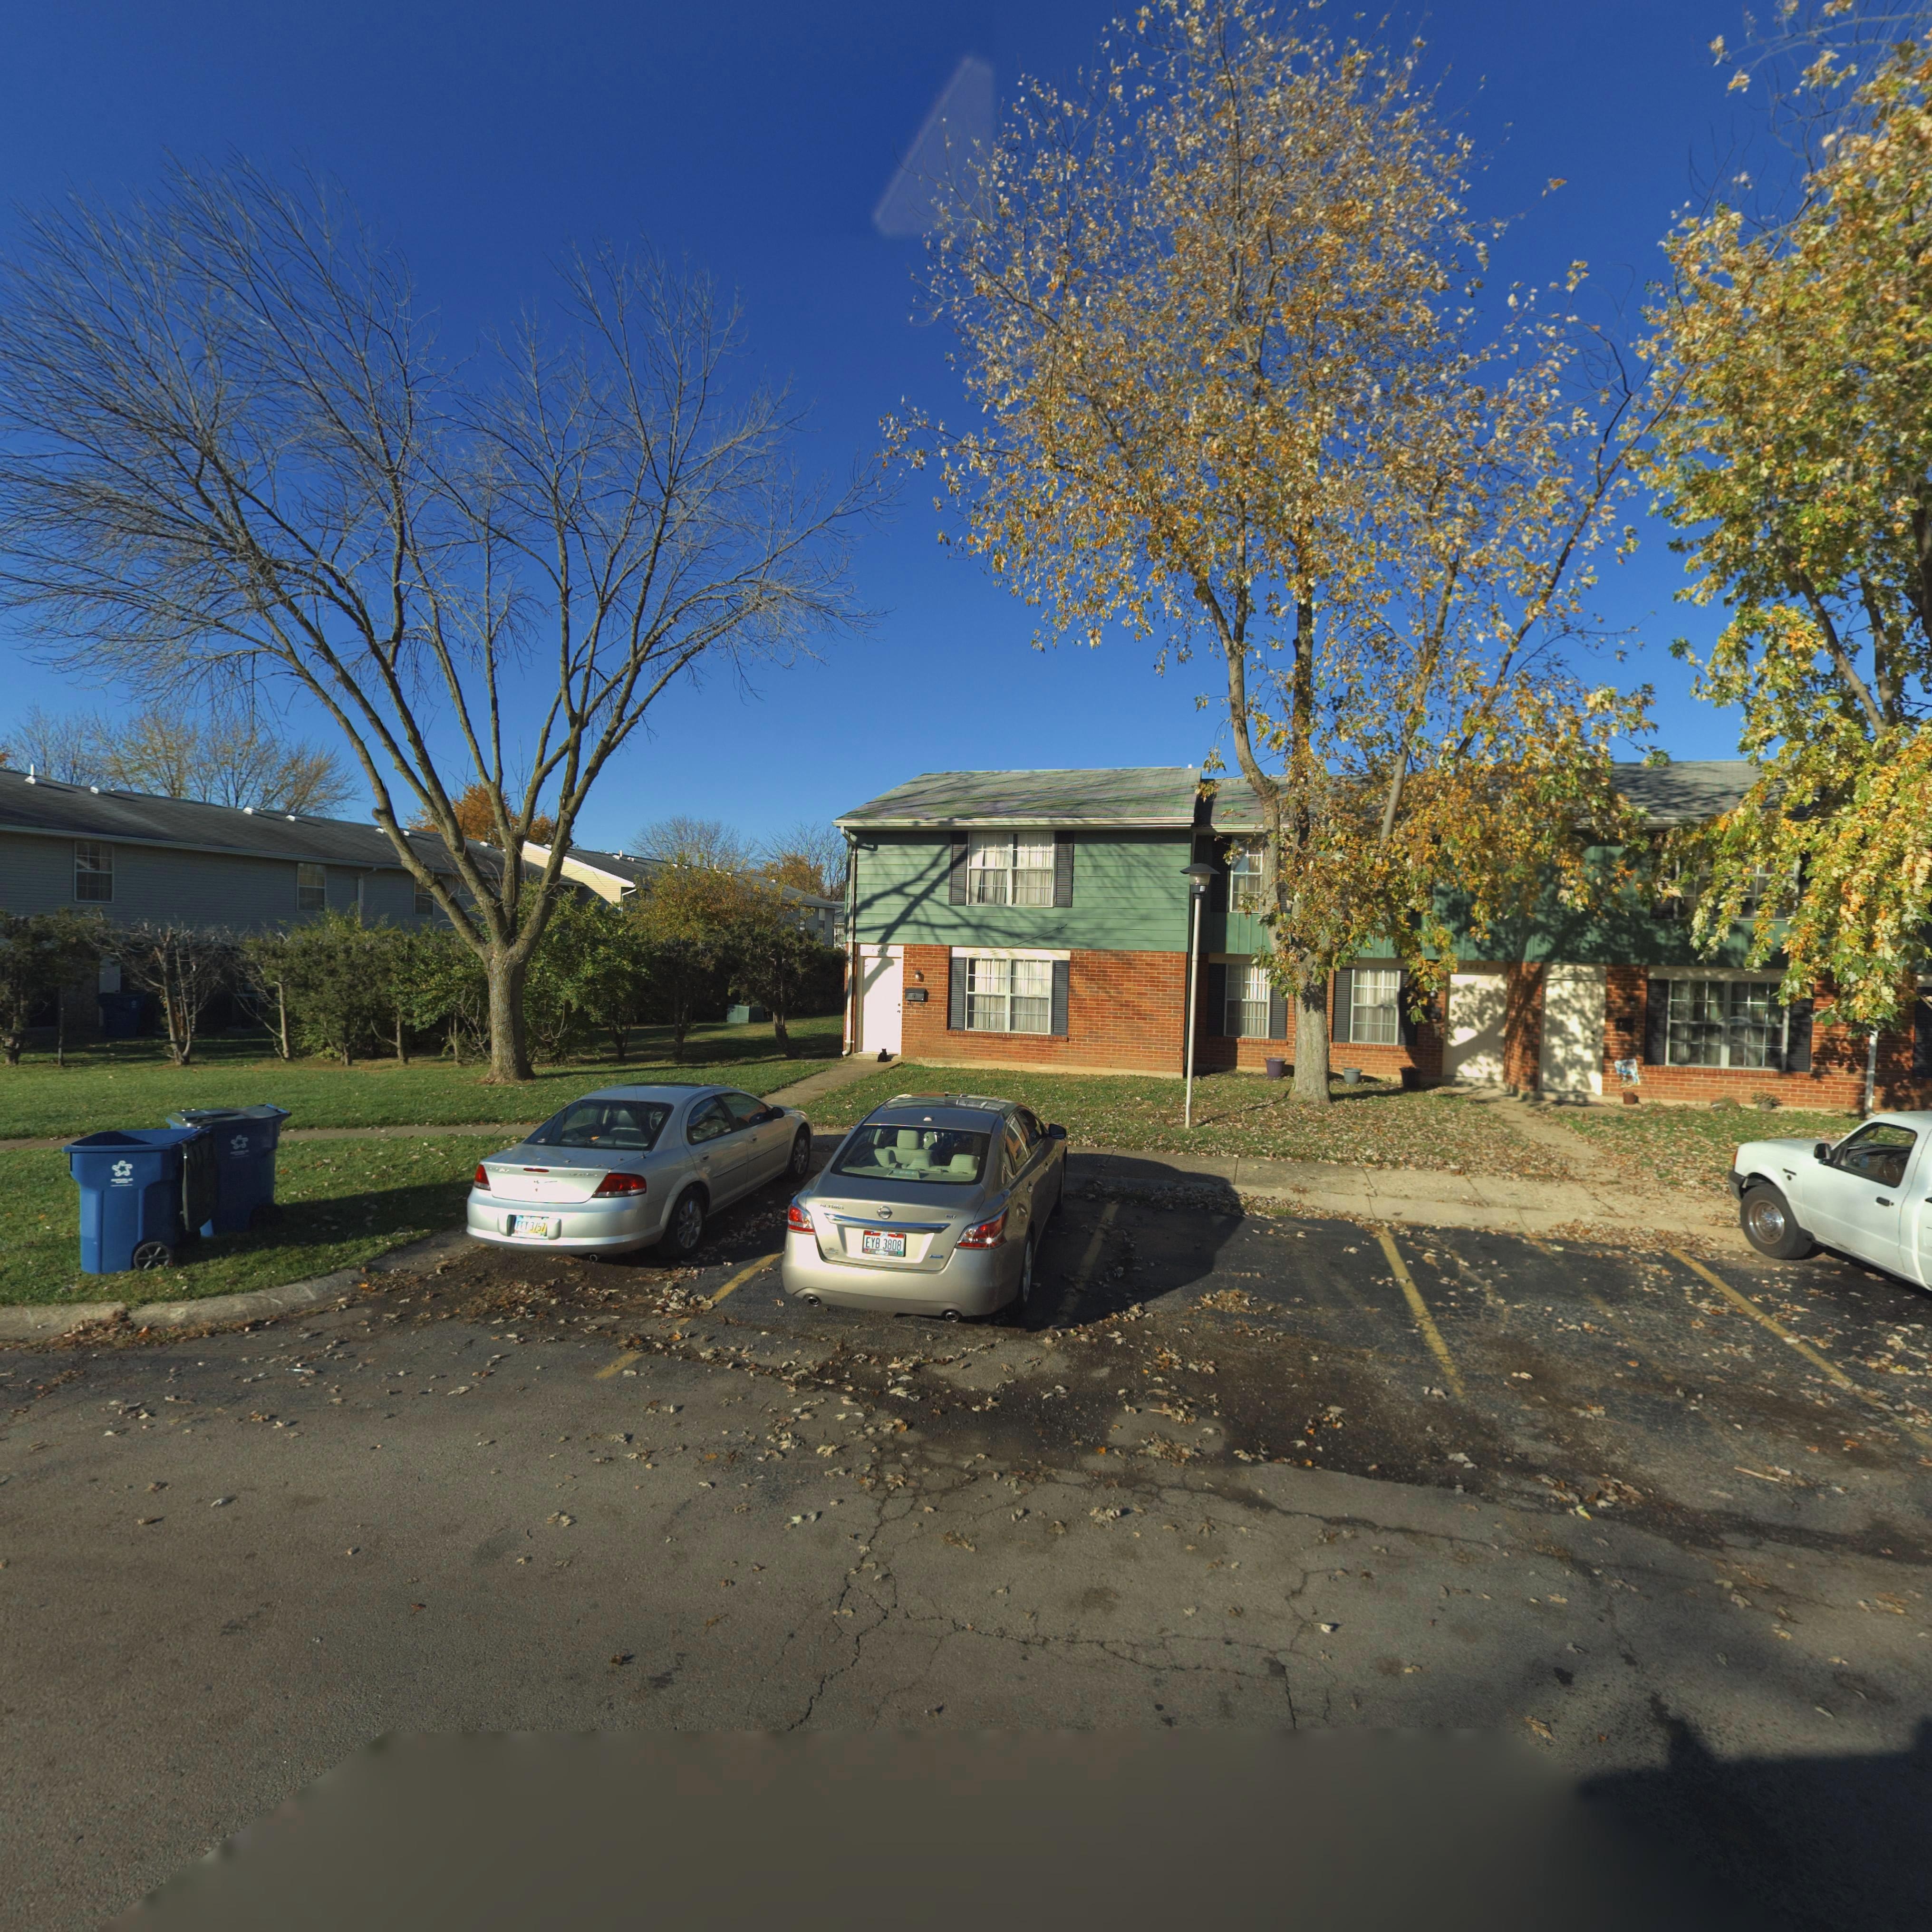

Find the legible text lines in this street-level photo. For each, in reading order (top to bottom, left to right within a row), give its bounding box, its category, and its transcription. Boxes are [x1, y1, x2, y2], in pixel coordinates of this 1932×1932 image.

[870, 947, 890, 954] StreetNumber: *0**
[1459, 963, 1488, 972] StreetNumber: 803*
[1556, 965, 1586, 978] StreetNumber: *0**
[514, 1218, 545, 1233] None: FEY 3757
[863, 1236, 904, 1252] None: EYB 3808